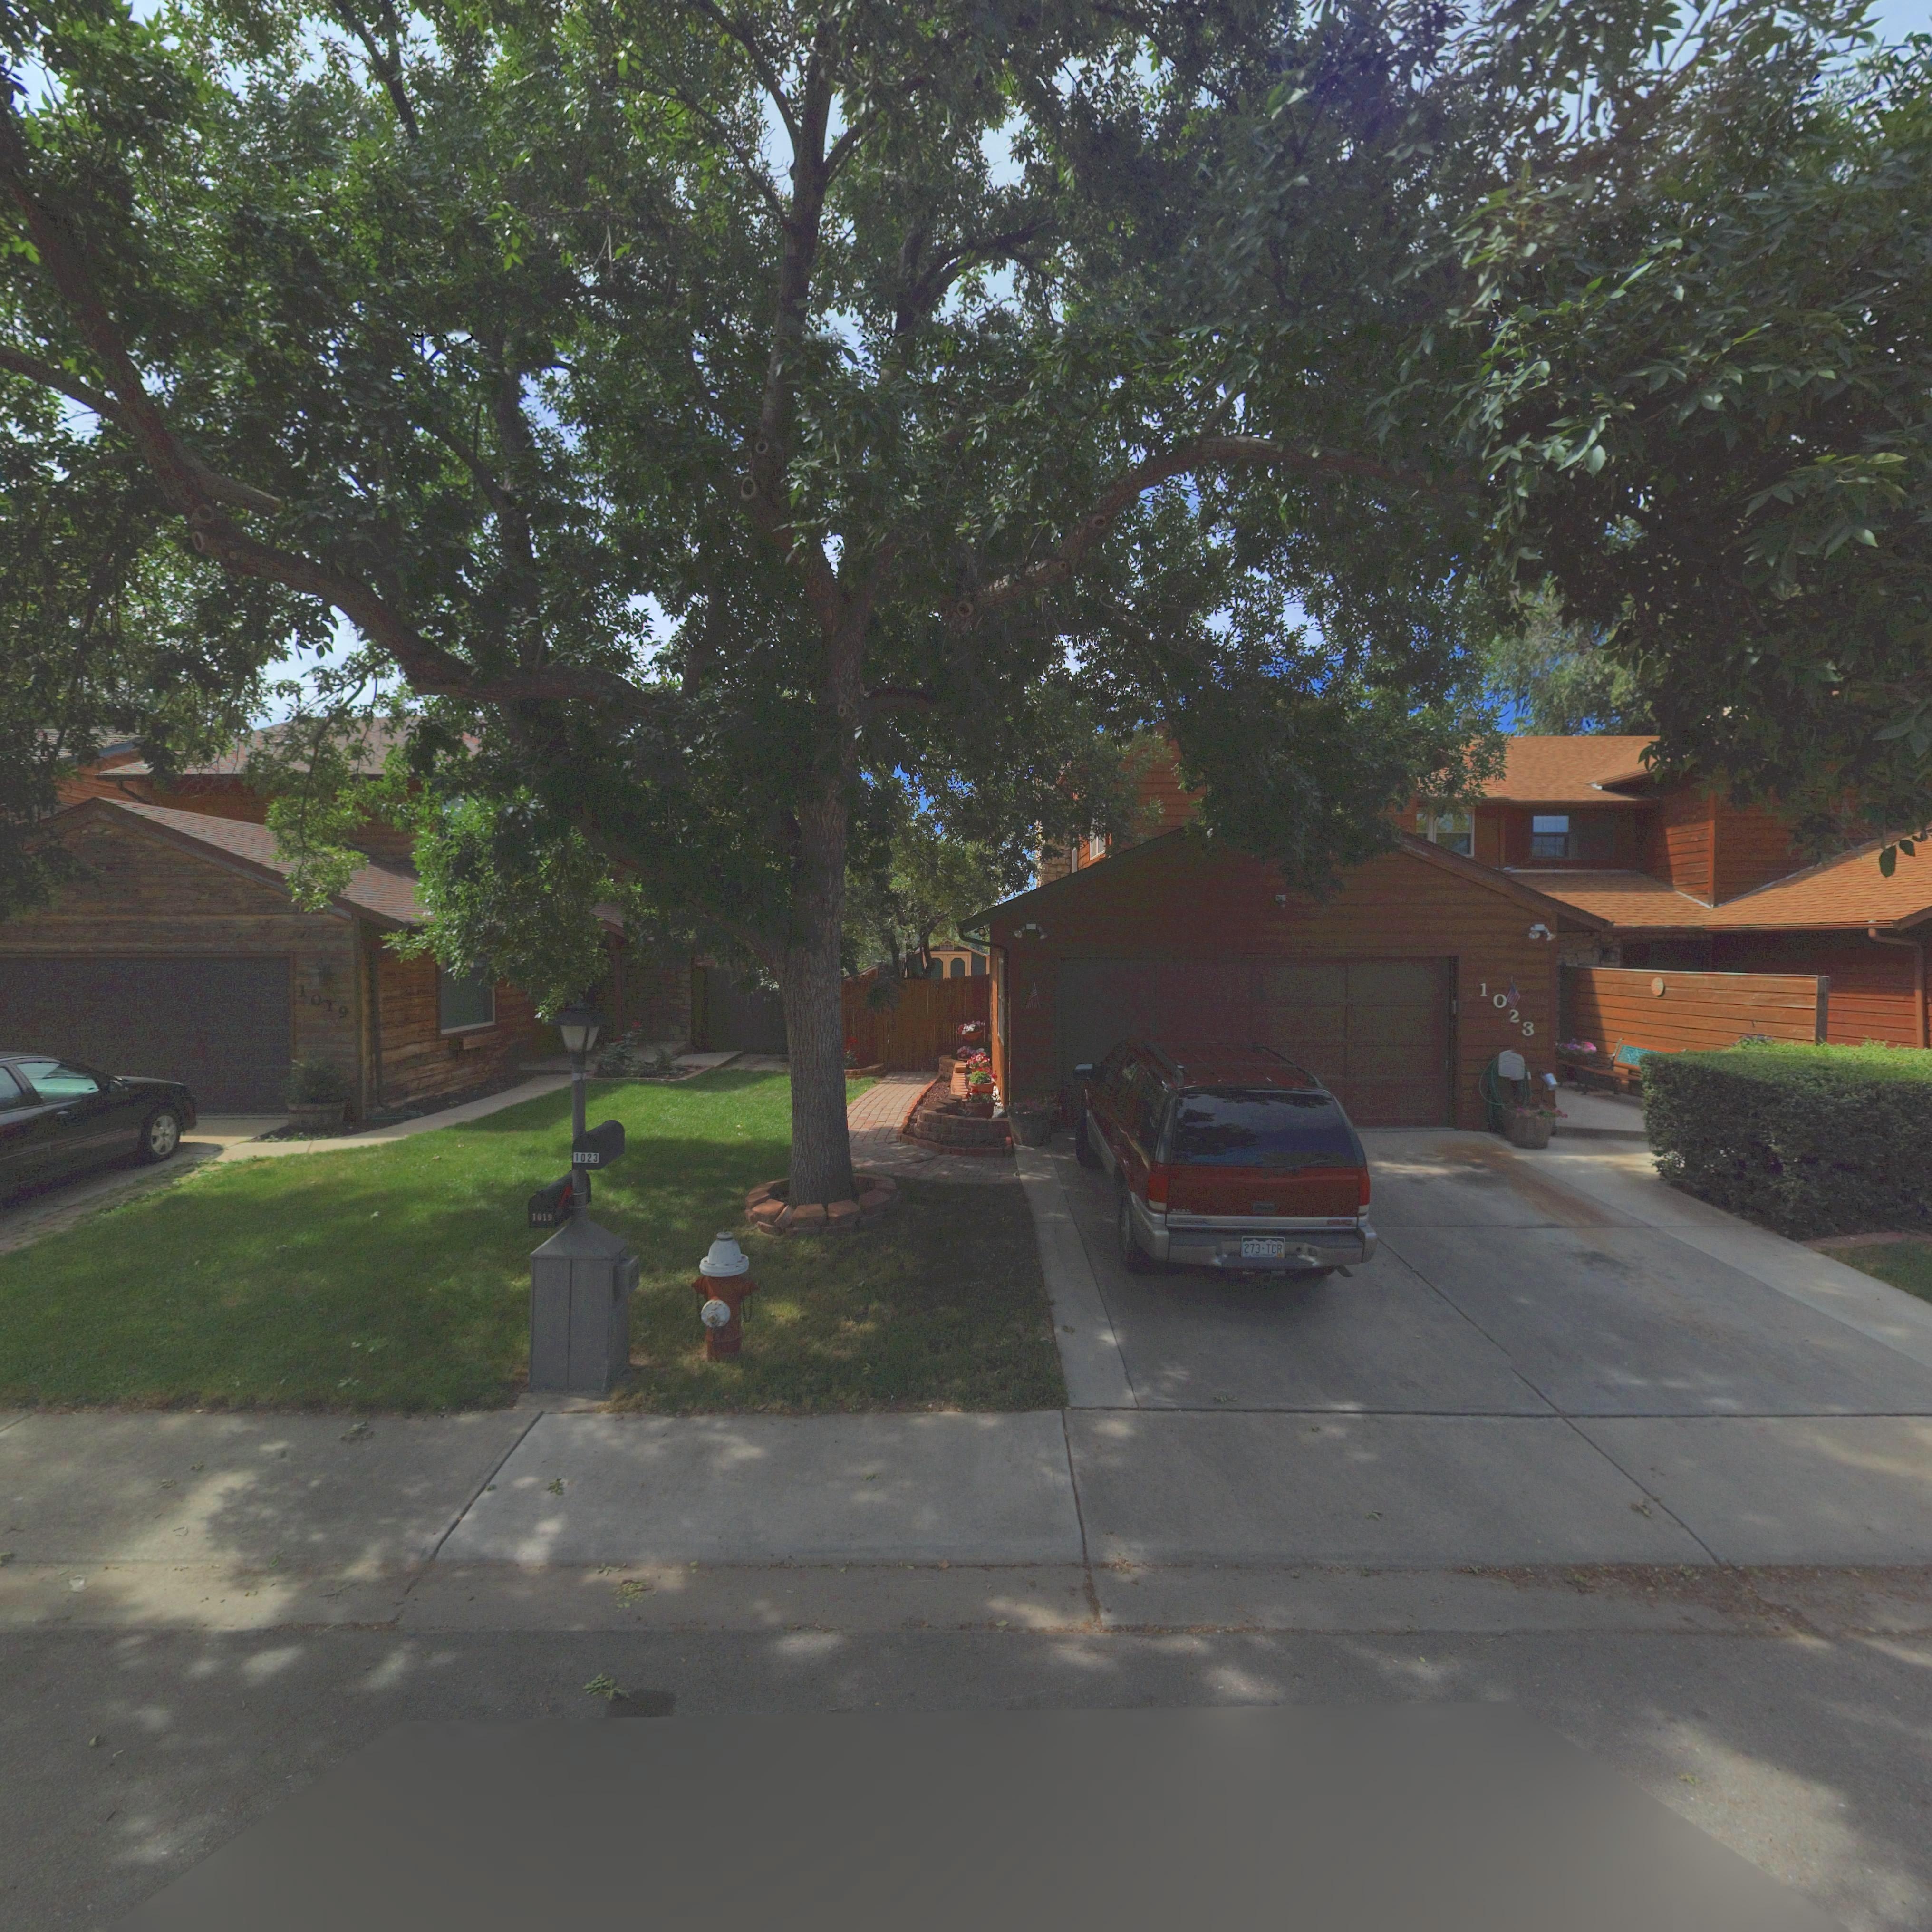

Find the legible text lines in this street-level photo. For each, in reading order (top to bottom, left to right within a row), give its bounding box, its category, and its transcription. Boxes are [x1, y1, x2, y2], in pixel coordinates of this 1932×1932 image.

[299, 984, 349, 1019] StreetNumber: 1019
[1479, 982, 1534, 1036] StreetNumber: 1023
[575, 1153, 598, 1162] StreetNumber: 1023
[532, 1213, 552, 1221] StreetNumber: 1019